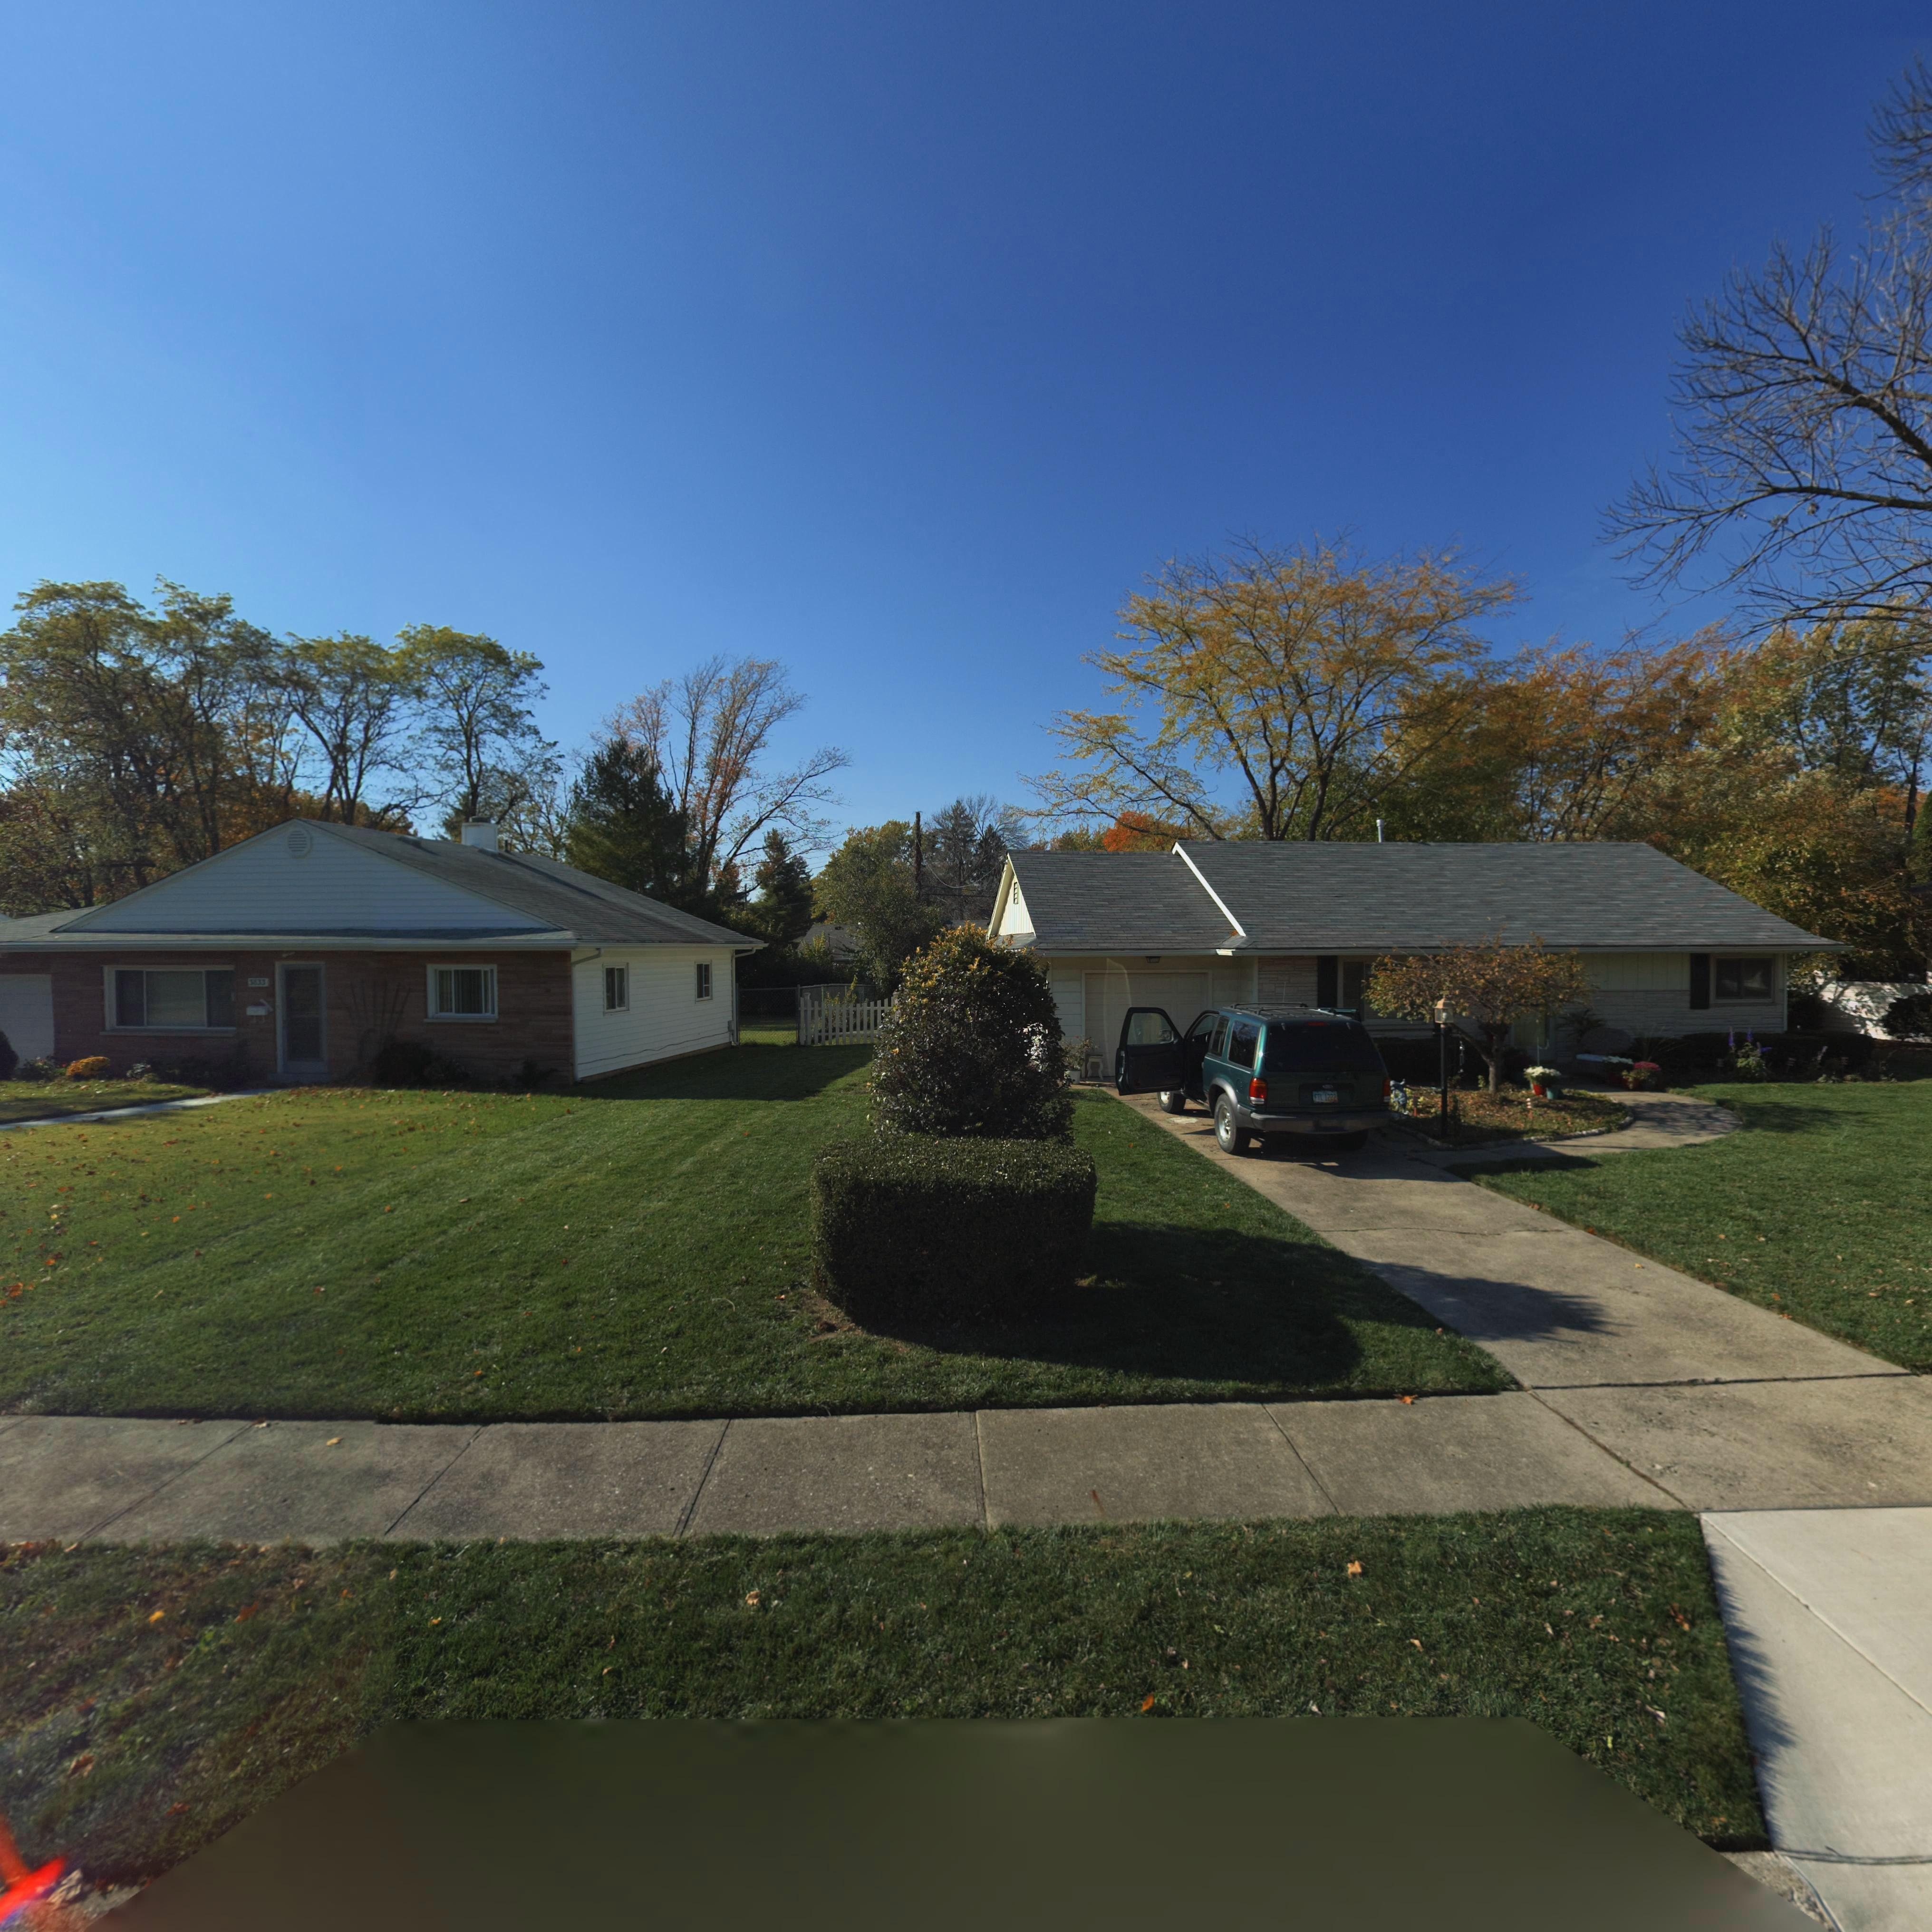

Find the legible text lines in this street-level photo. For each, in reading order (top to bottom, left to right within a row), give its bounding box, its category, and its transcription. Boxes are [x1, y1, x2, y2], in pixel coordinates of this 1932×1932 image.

[248, 978, 266, 986] StreetNumber: 3633
[1314, 1093, 1337, 1102] None: FTL 1222